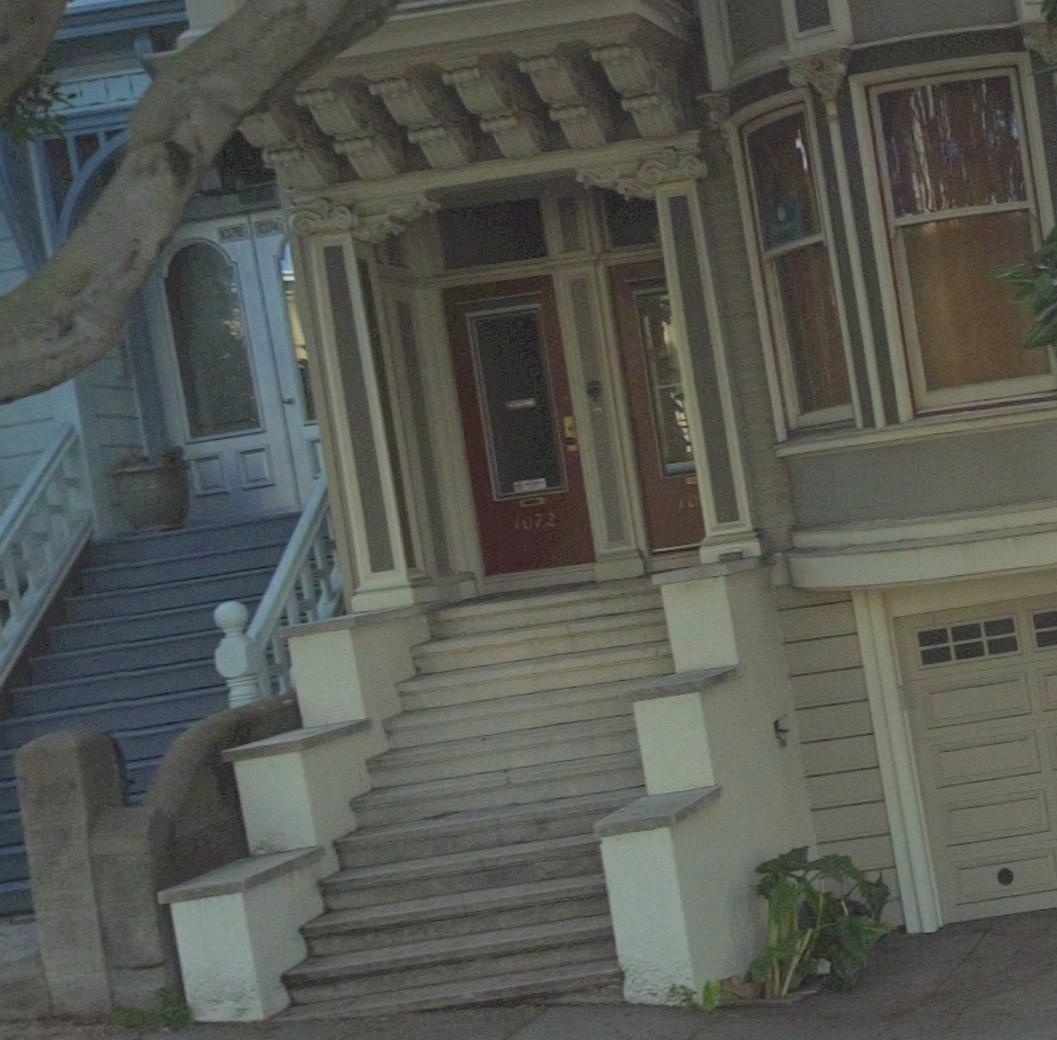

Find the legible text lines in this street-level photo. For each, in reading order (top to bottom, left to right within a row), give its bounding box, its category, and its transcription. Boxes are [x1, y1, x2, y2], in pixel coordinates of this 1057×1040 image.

[218, 225, 245, 241] StreetNumber: 1076
[255, 219, 284, 236] StreetNumber: 1074
[677, 492, 702, 510] StreetNumber: 10
[513, 511, 560, 531] StreetNumber: 1072